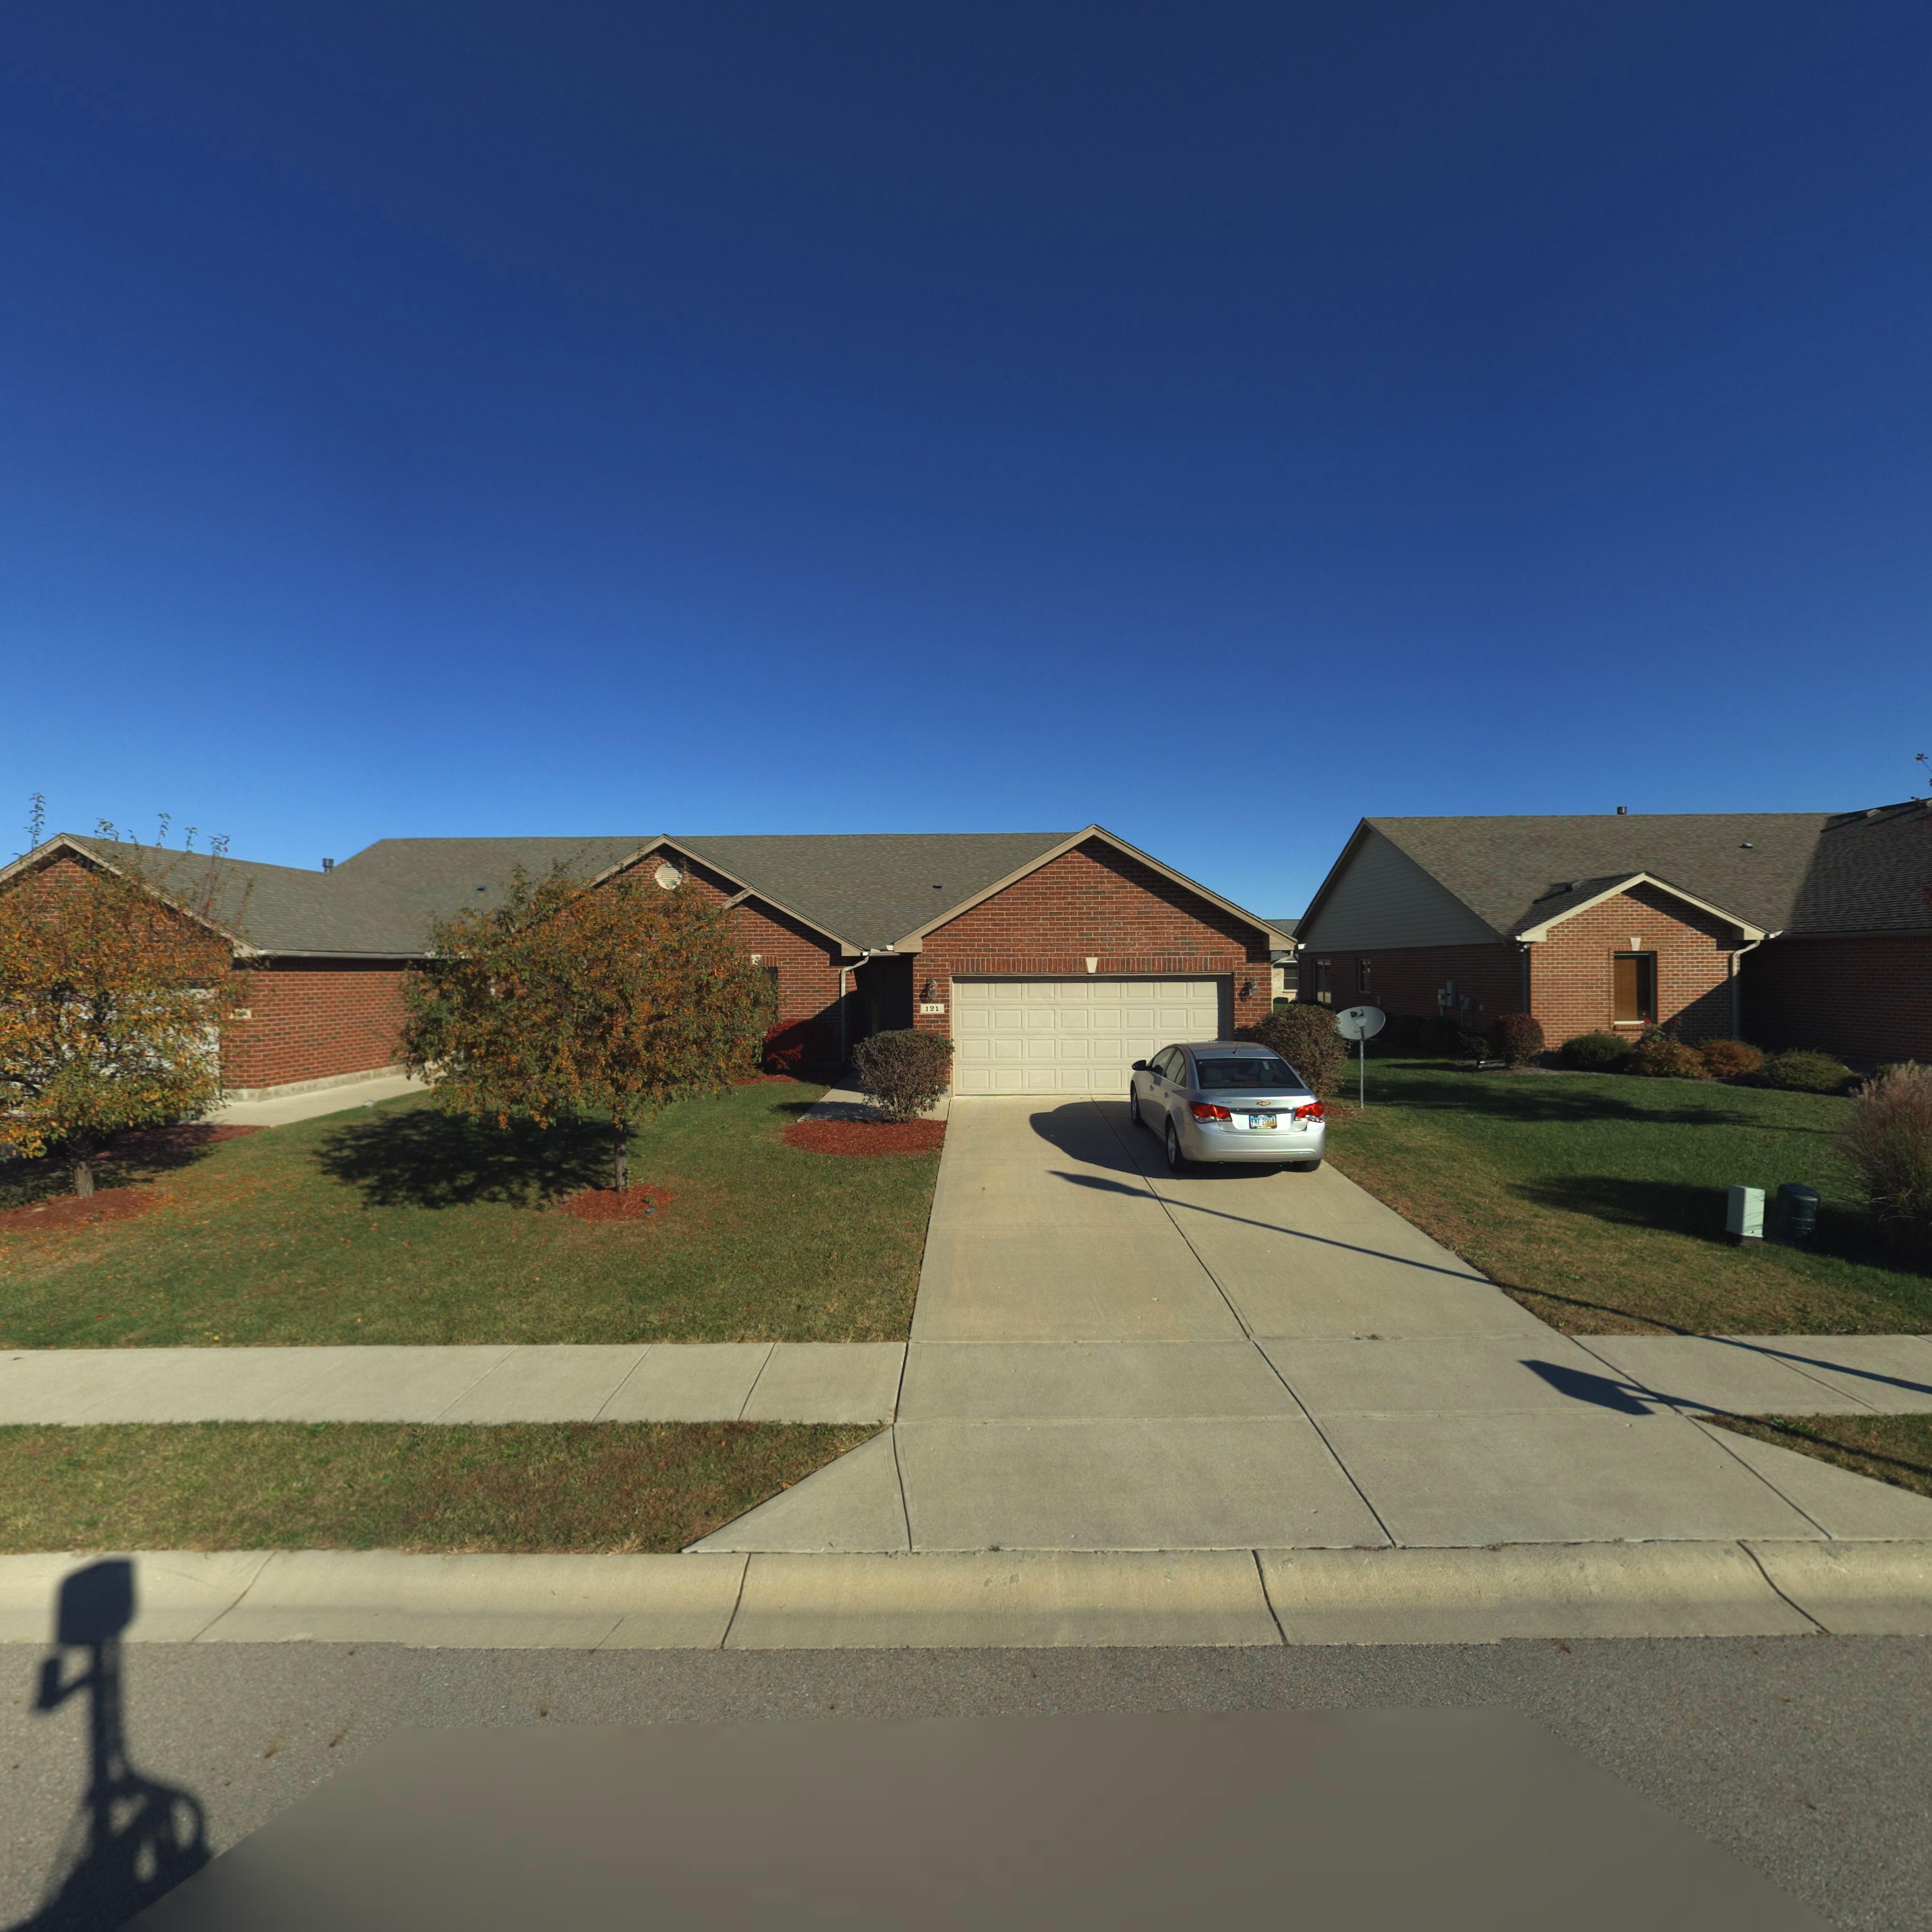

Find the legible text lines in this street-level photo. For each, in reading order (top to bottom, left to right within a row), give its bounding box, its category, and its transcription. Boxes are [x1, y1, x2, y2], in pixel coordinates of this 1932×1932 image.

[925, 1005, 940, 1012] StreetNumber: 121